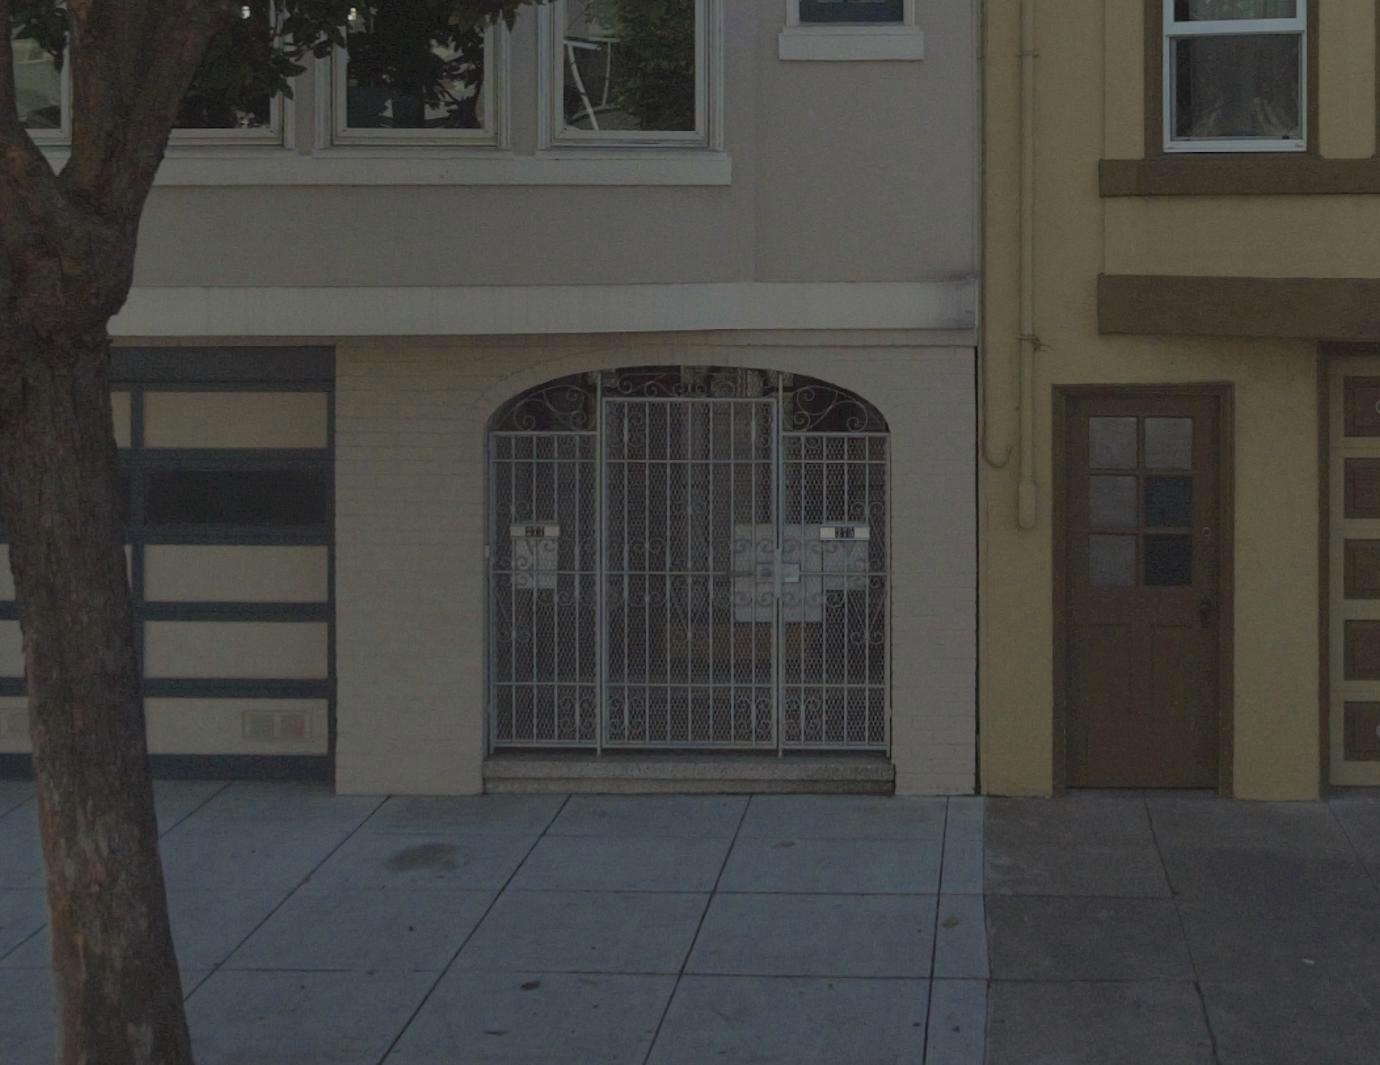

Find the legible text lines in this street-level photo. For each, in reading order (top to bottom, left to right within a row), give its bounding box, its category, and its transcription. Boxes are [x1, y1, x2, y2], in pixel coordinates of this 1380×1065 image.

[525, 526, 544, 536] StreetNumber: 271
[835, 527, 855, 538] StreetNumber: 275